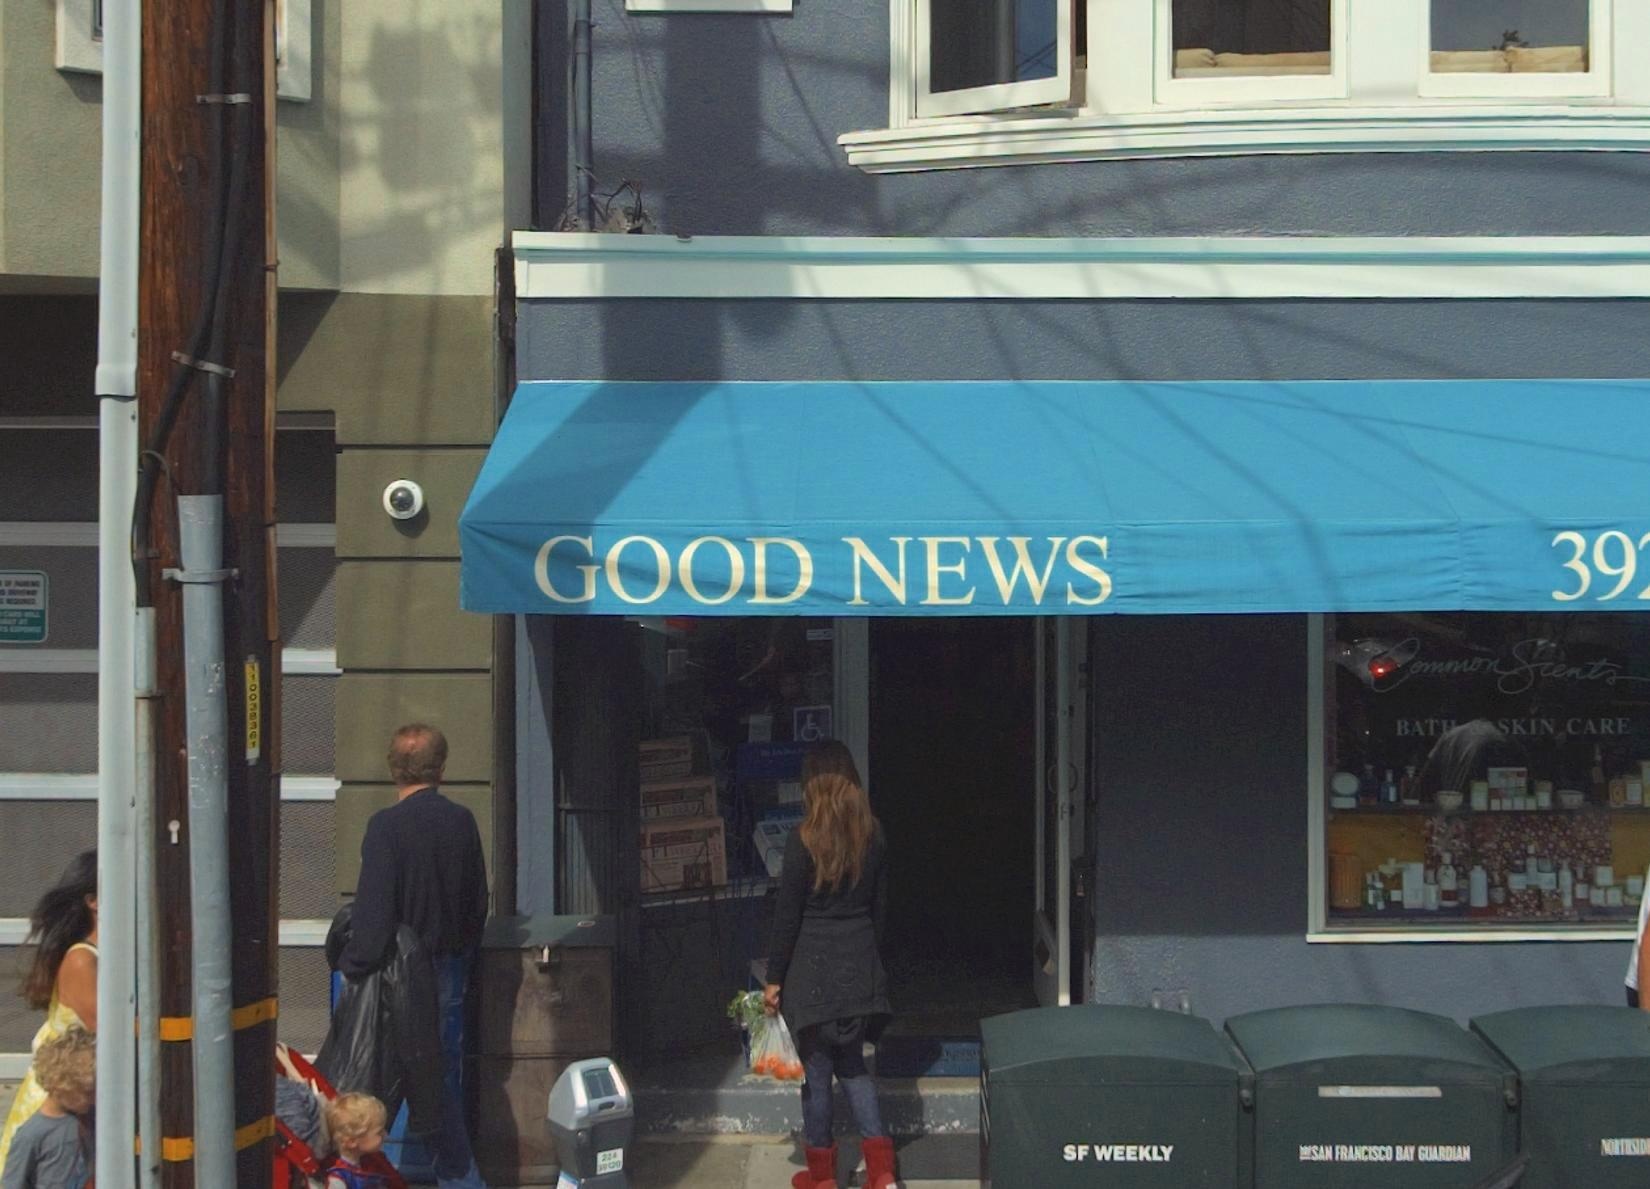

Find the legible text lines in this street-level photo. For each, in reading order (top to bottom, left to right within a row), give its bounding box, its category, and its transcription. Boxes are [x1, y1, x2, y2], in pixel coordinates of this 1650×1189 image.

[533, 533, 1113, 608] BusinessName: GOOD NEWS
[1549, 529, 1637, 604] StreetNumber: 39
[1370, 636, 1621, 696] BusinessName: Common Scents
[248, 664, 258, 749] None: 110038361
[1397, 716, 1631, 737] None: BAT* & SKIN CARE
[1062, 1143, 1175, 1162] None: SF WEEKLY
[1311, 1144, 1472, 1163] None: SAN FRANCISCO BAY GUARDIAN
[1600, 1137, 1650, 1157] None: NORTHSID